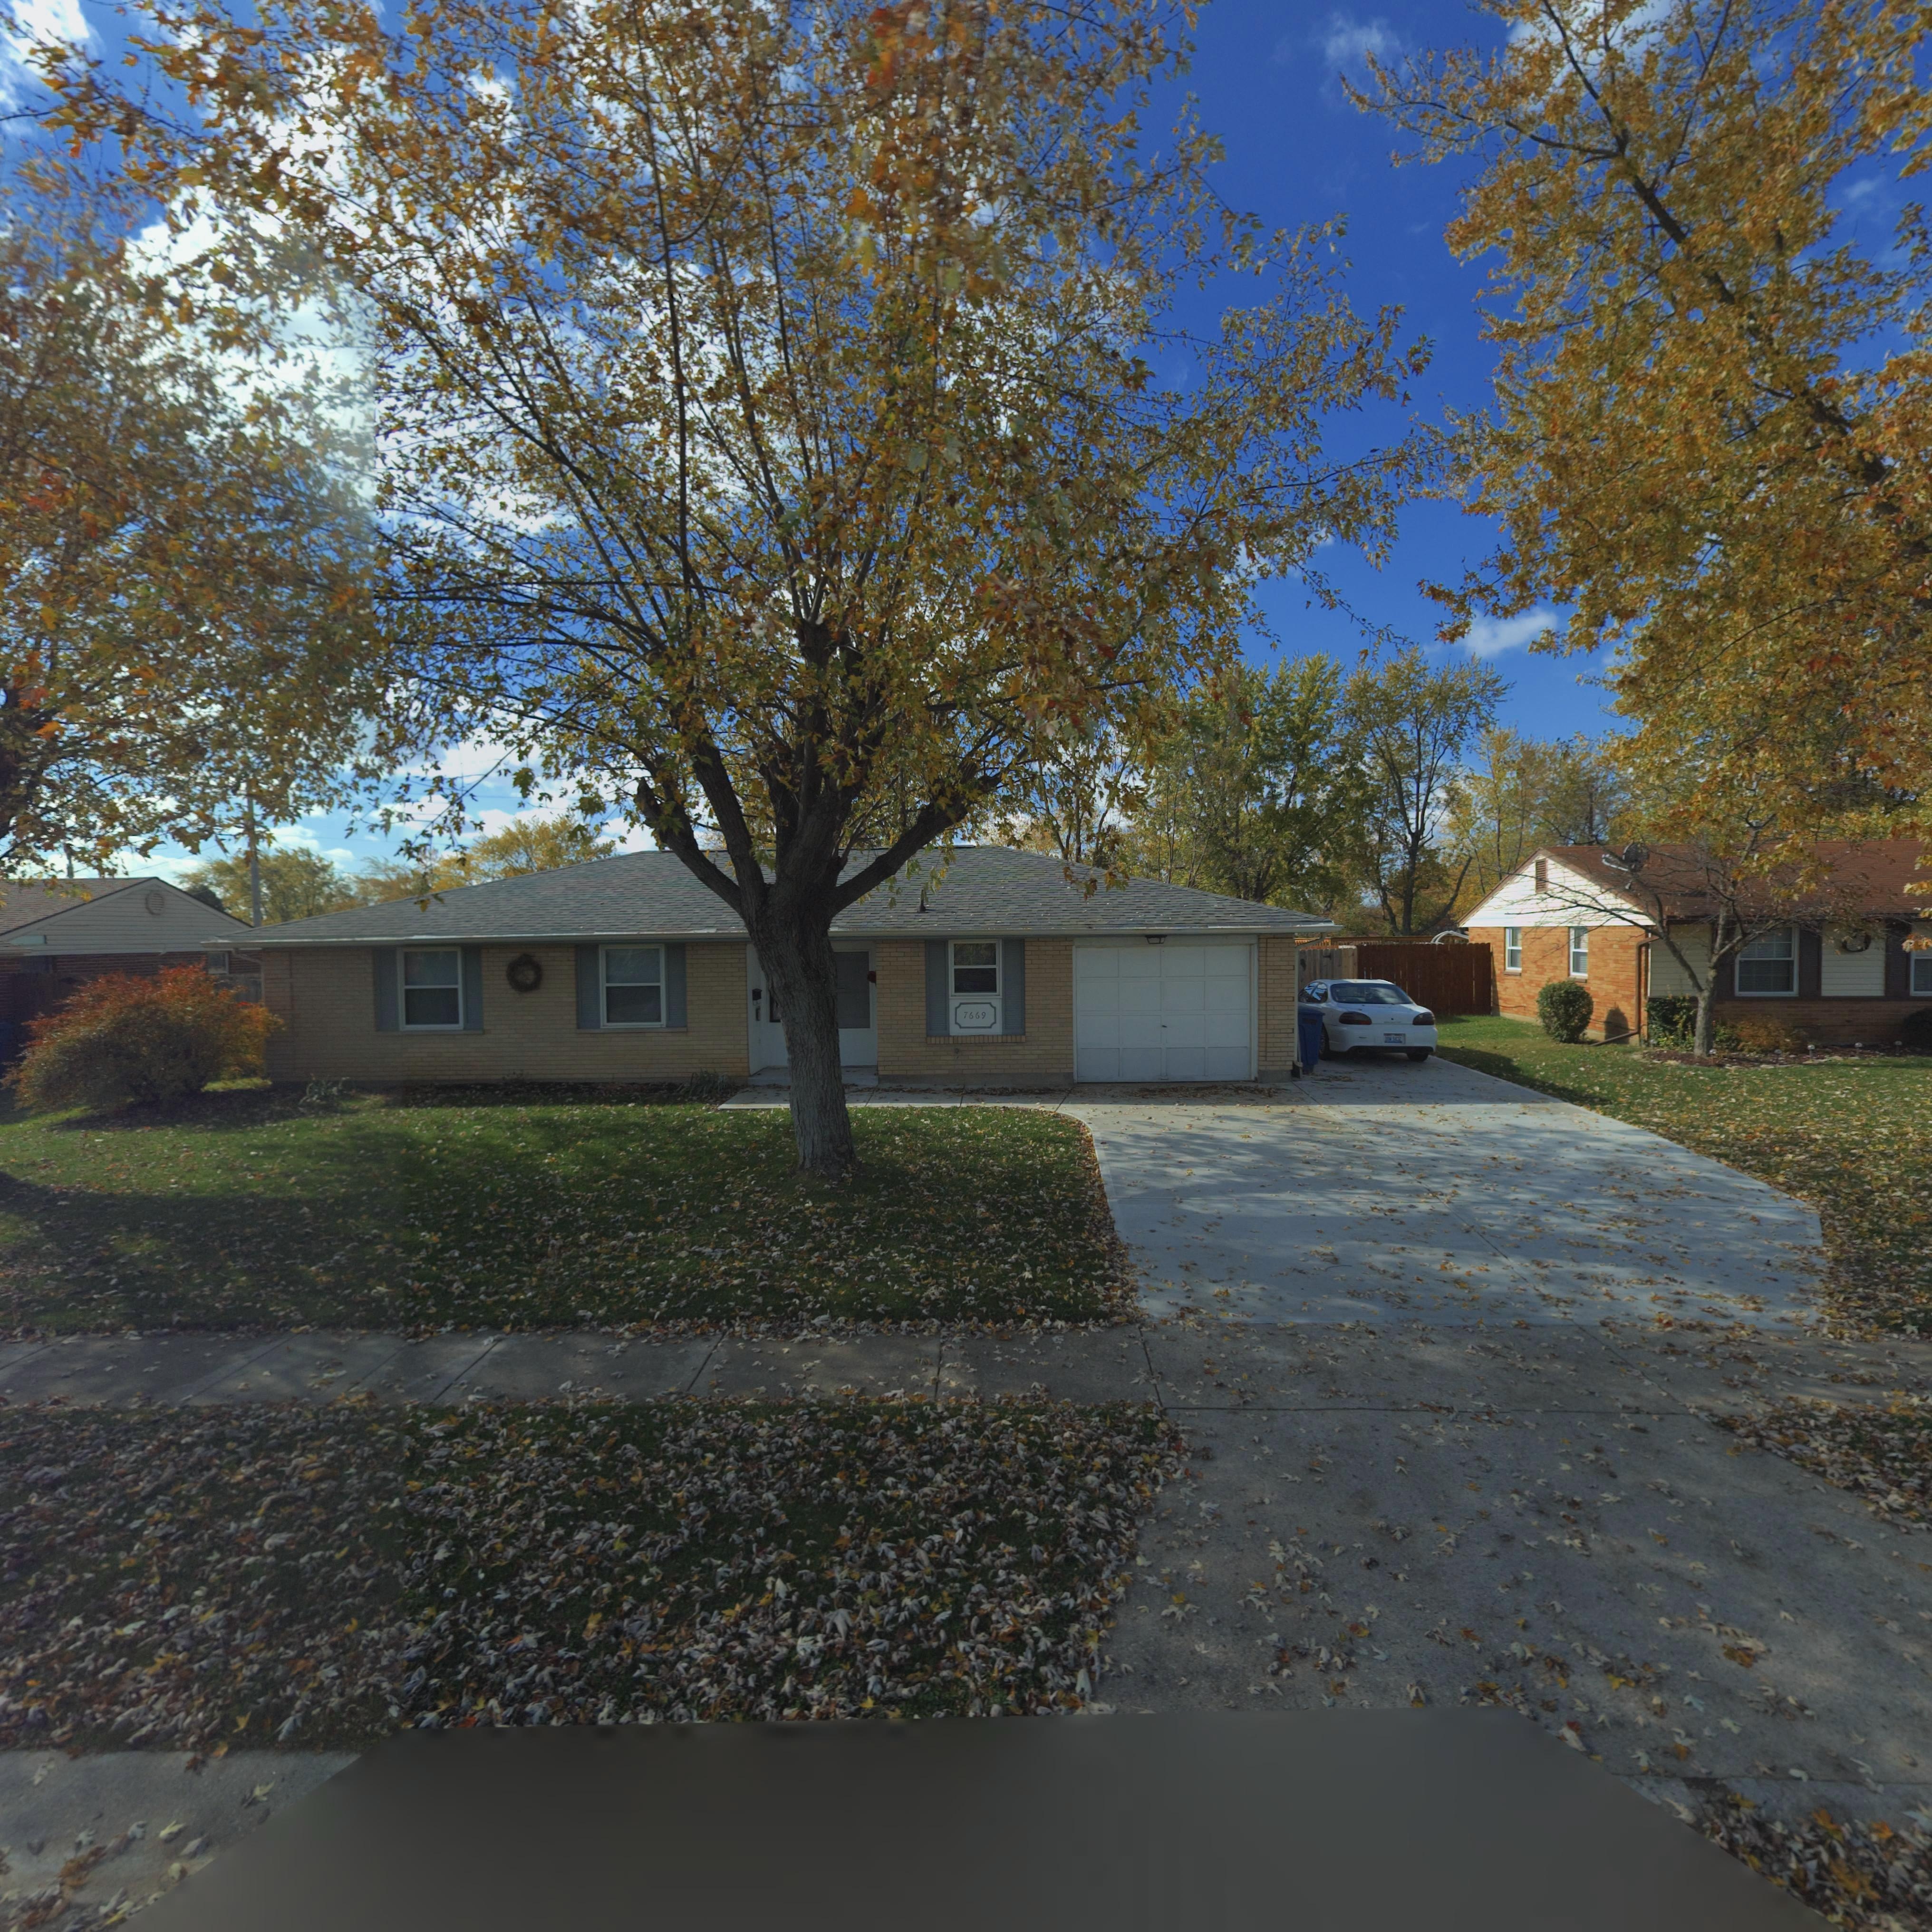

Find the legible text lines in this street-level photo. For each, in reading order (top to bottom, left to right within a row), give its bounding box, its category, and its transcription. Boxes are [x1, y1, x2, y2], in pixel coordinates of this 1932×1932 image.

[963, 1011, 986, 1020] StreetNumber: 7669